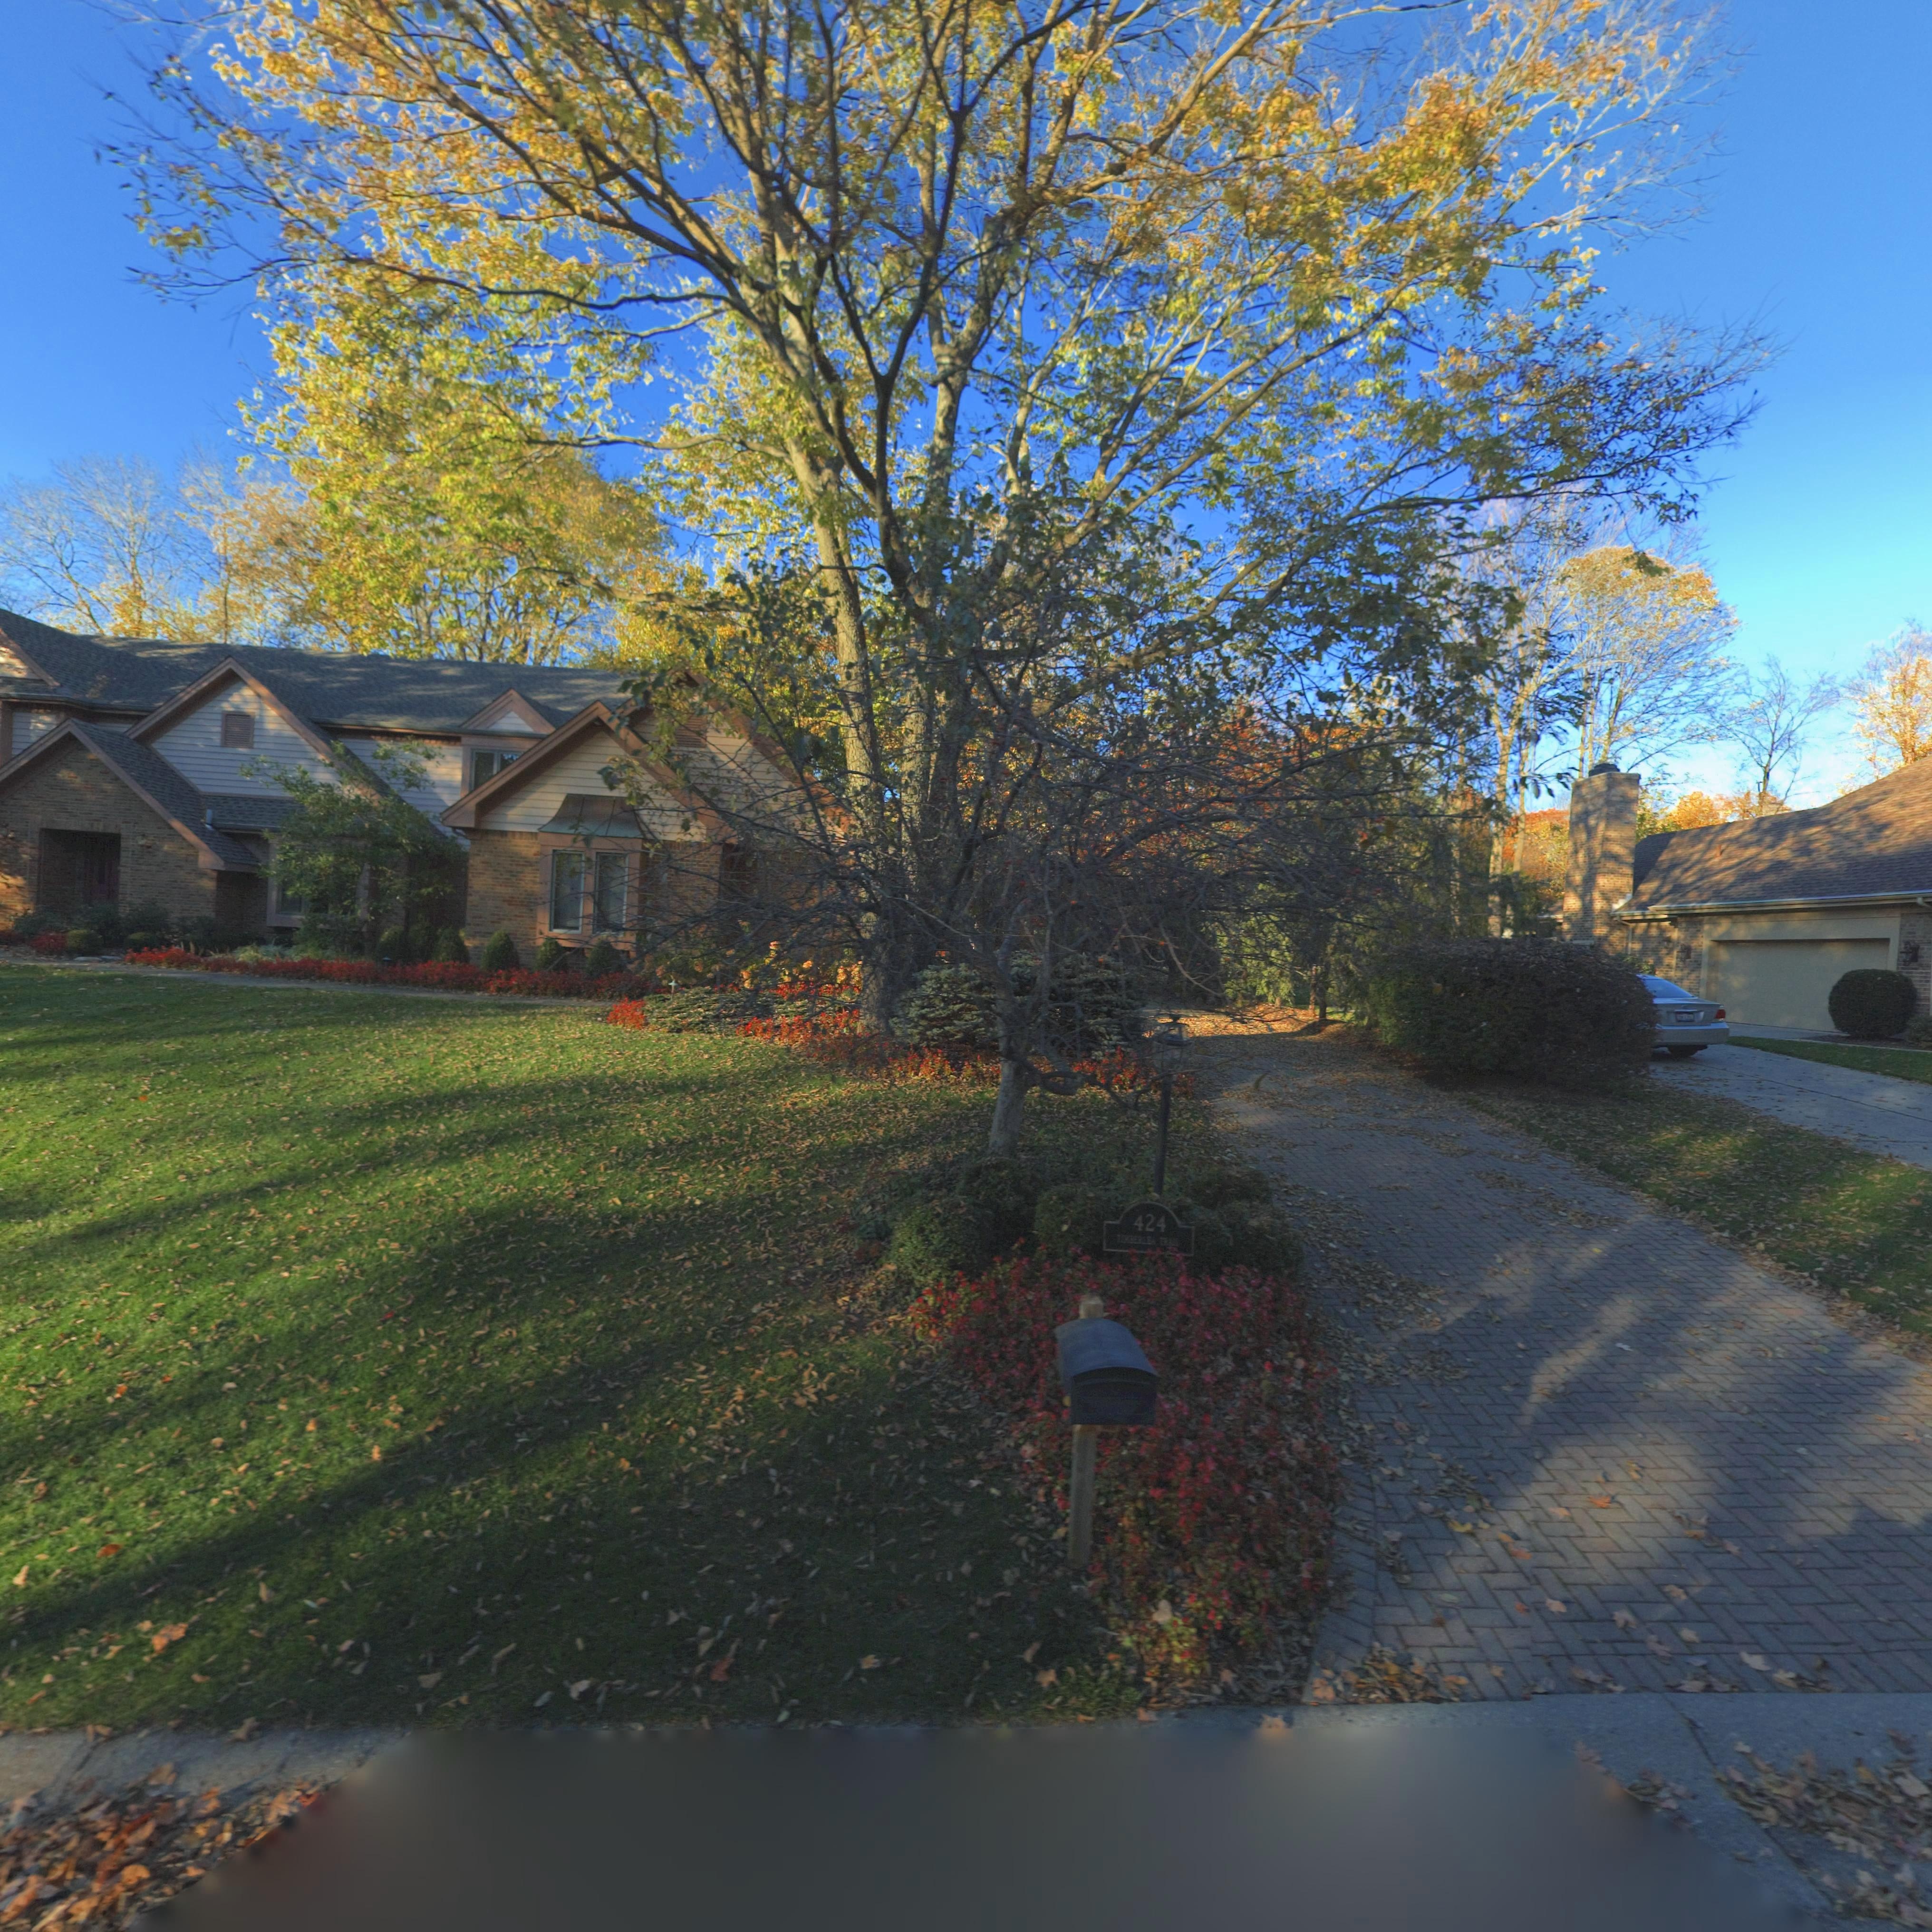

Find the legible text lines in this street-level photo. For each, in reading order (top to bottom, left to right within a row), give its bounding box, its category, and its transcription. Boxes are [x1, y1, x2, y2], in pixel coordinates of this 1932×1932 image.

[1132, 1213, 1168, 1233] StreetNumber: 424